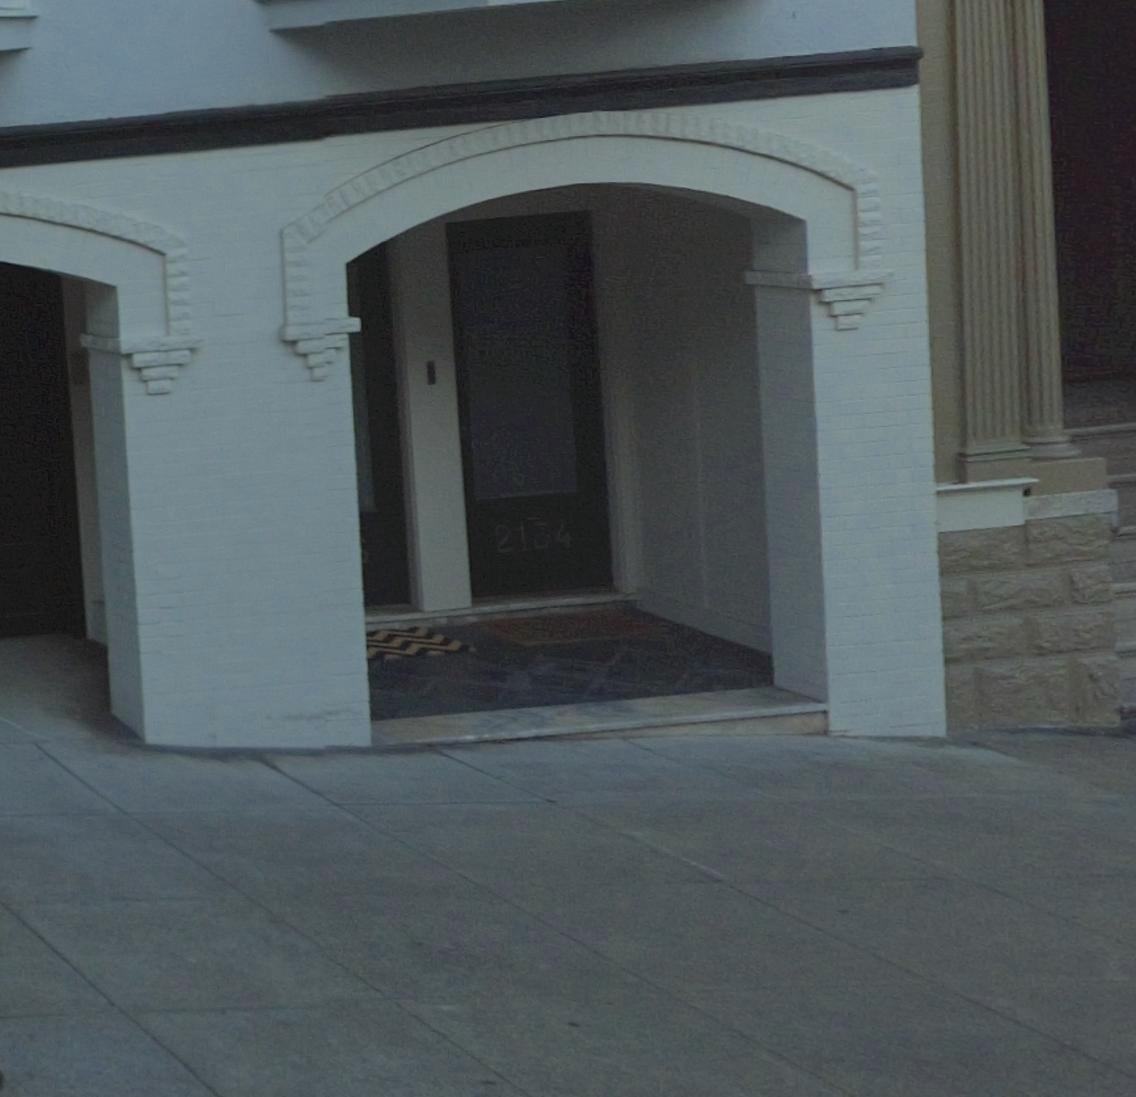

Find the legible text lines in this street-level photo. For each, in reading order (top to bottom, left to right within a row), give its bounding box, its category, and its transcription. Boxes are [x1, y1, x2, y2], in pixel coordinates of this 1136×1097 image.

[488, 516, 576, 557] StreetNumber: 2134